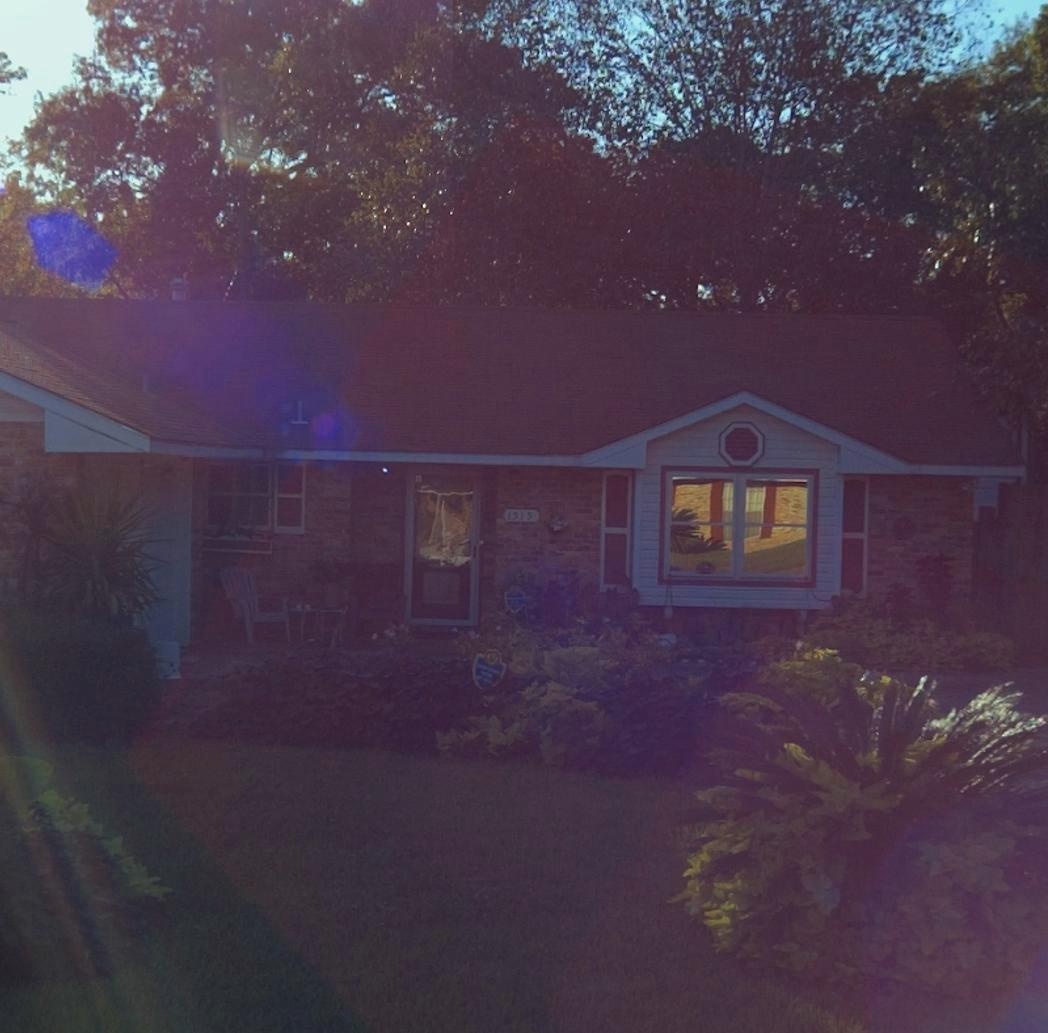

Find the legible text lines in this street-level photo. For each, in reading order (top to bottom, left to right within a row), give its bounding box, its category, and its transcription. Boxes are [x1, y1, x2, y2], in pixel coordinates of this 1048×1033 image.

[506, 511, 534, 521] StreetNumber: 1515